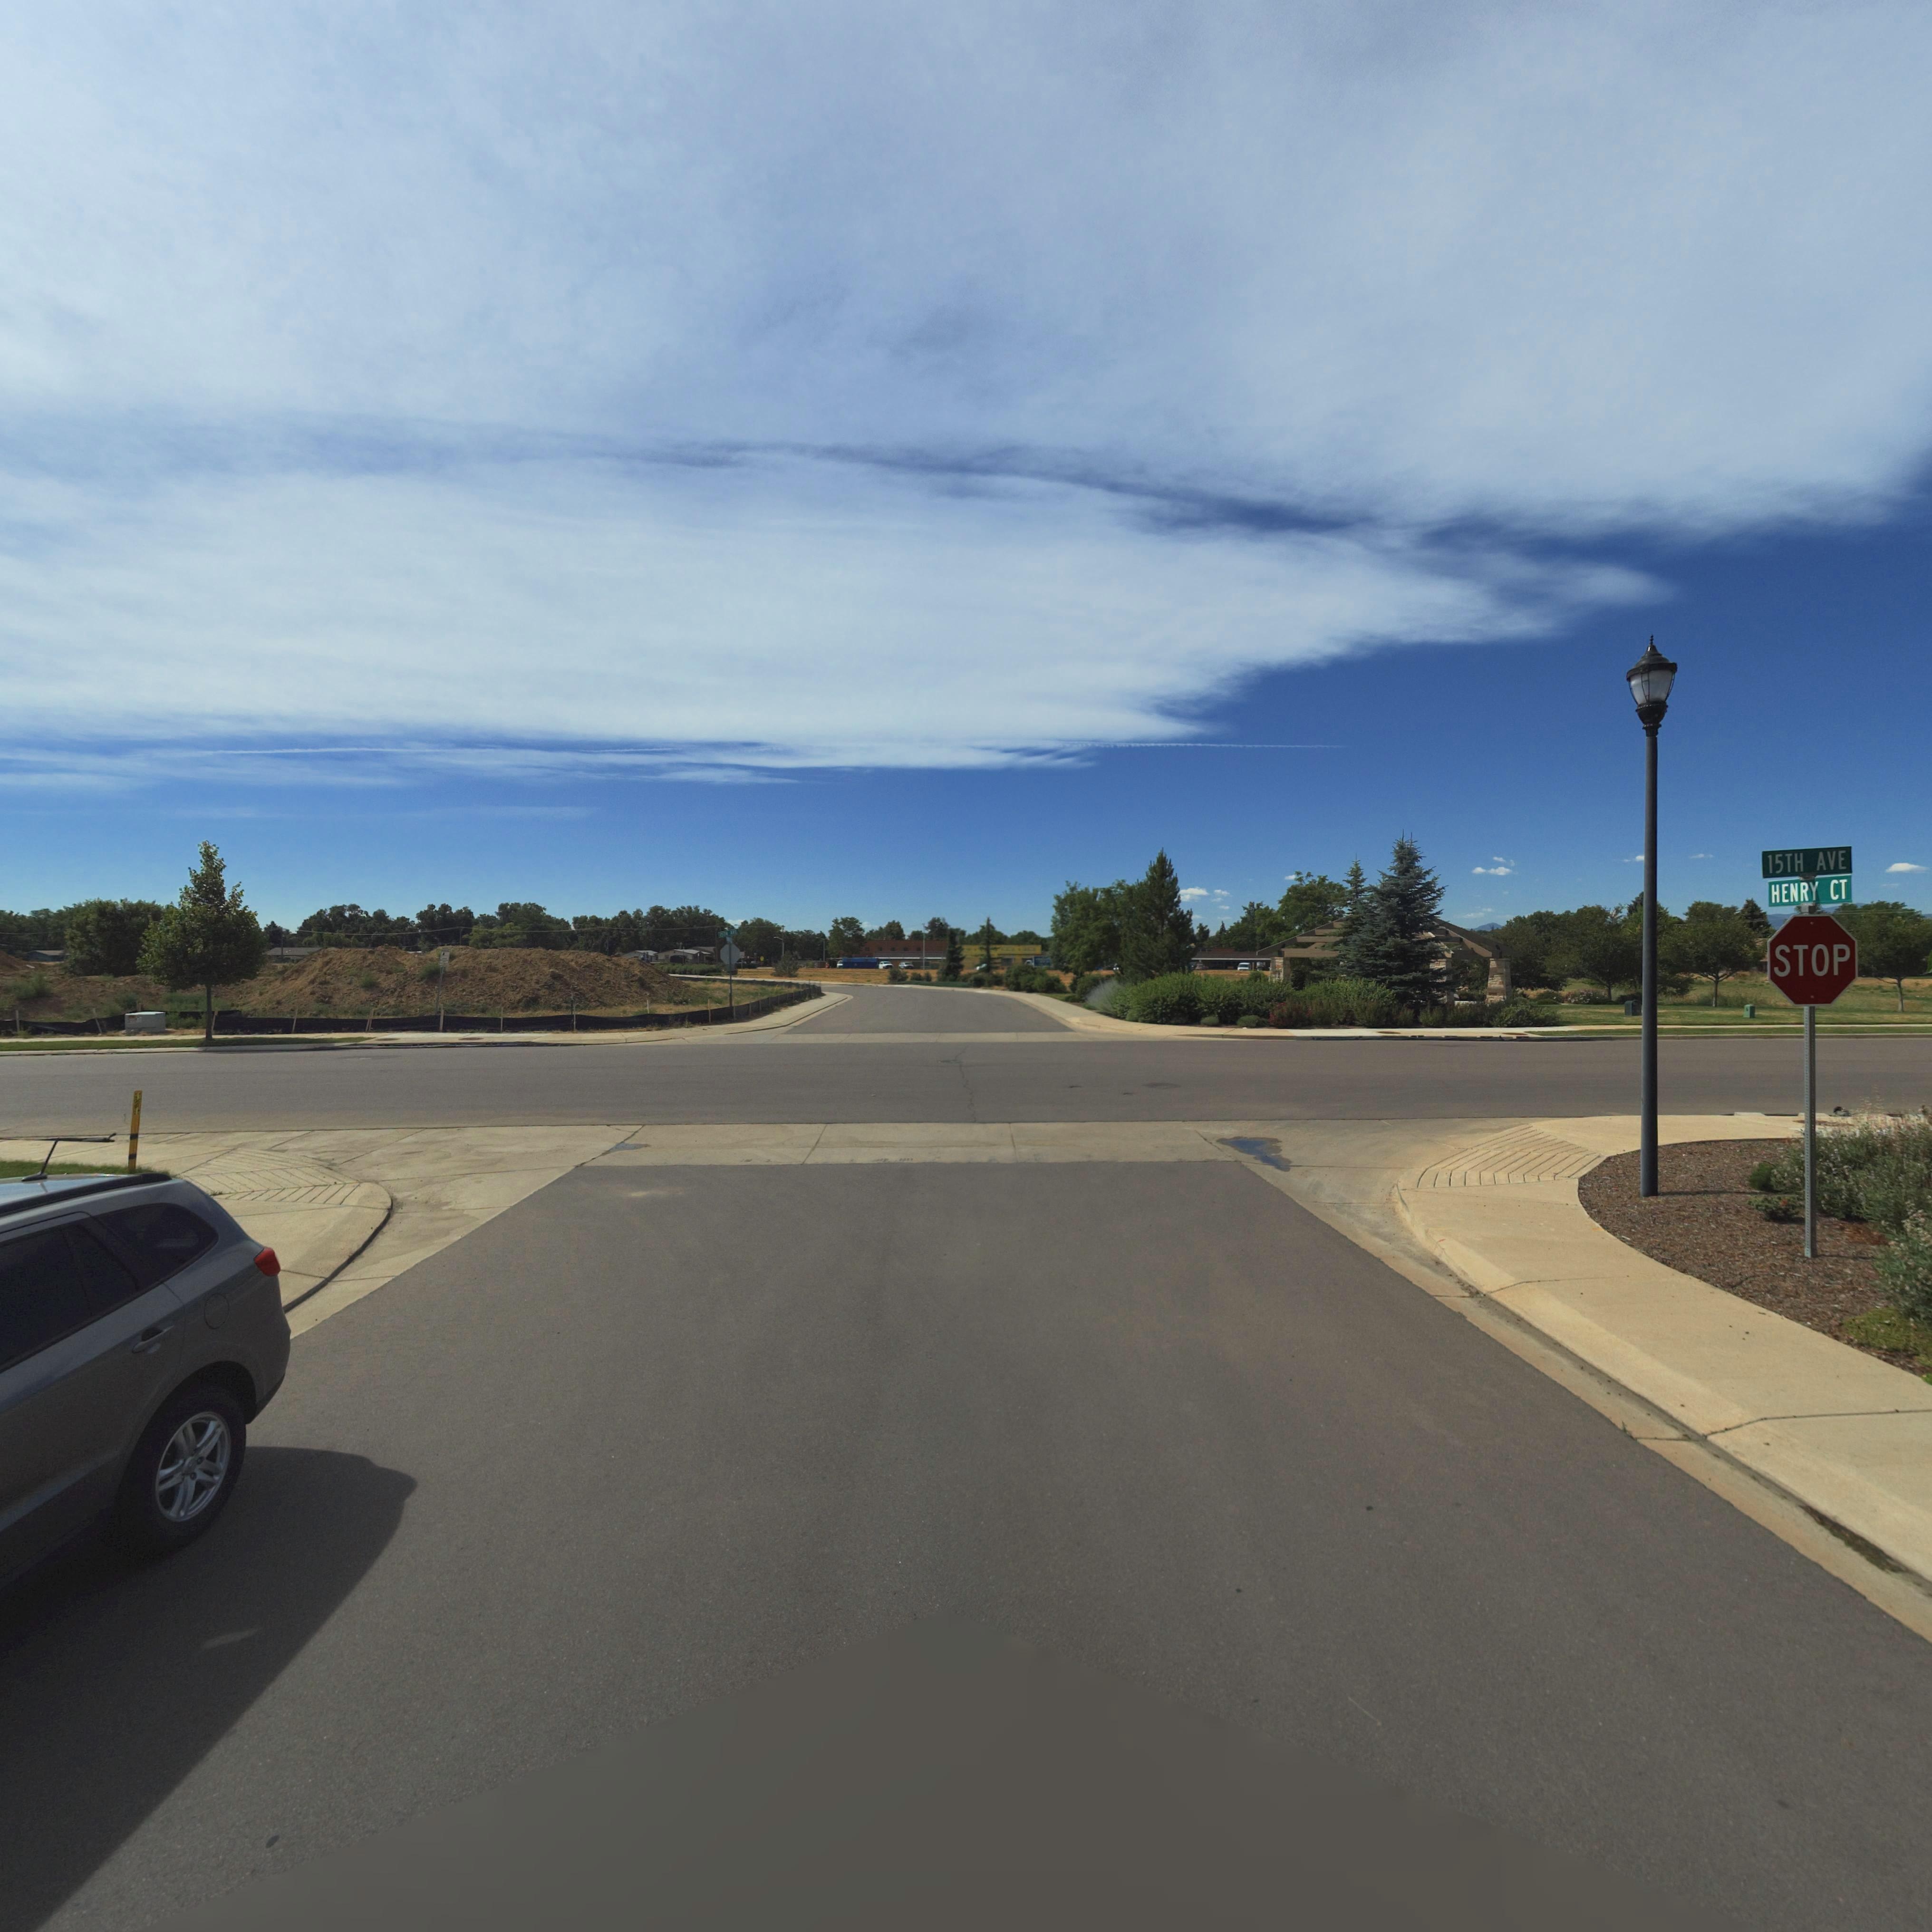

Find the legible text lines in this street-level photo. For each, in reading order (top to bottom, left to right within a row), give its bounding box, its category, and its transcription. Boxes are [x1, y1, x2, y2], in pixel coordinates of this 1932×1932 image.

[1767, 850, 1847, 874] StreetName: 15TH AVE
[1771, 878, 1847, 903] StreetName: HENRY CT
[719, 929, 737, 937] StreetName: 1*** ***